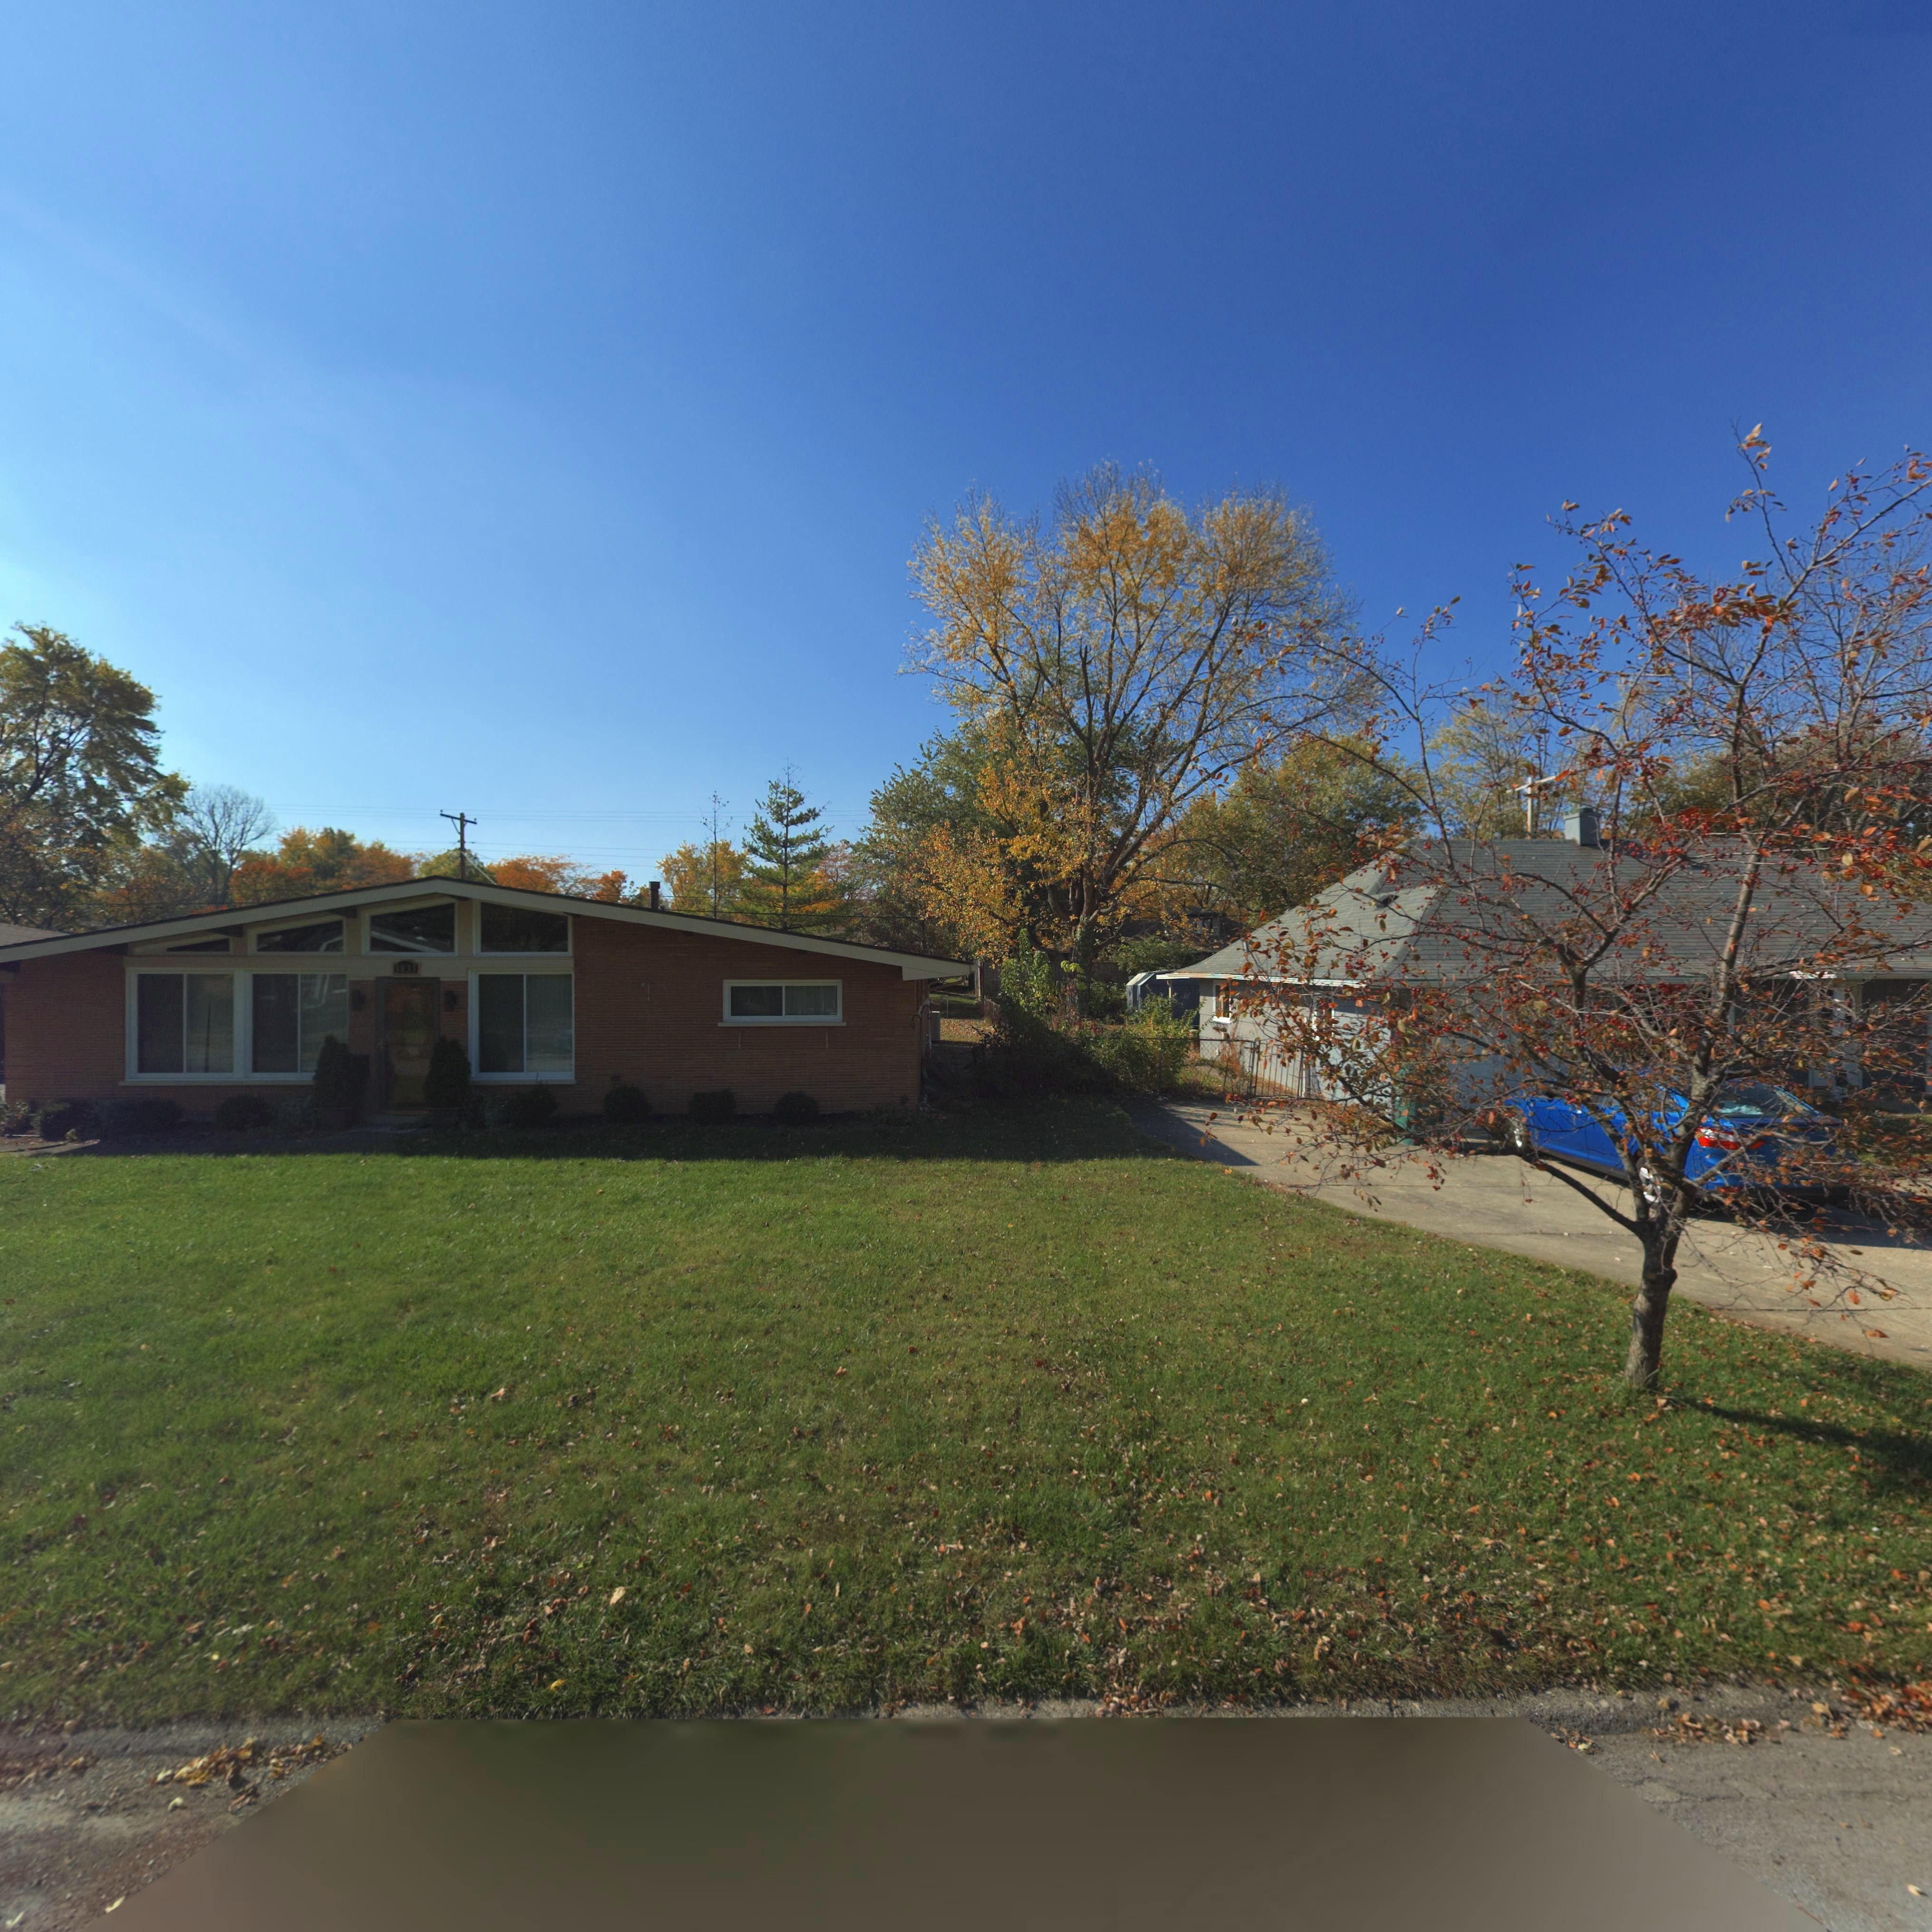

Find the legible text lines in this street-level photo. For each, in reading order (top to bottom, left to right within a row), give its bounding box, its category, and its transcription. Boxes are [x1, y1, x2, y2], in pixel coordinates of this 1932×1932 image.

[394, 964, 416, 973] StreetNumber: 3833